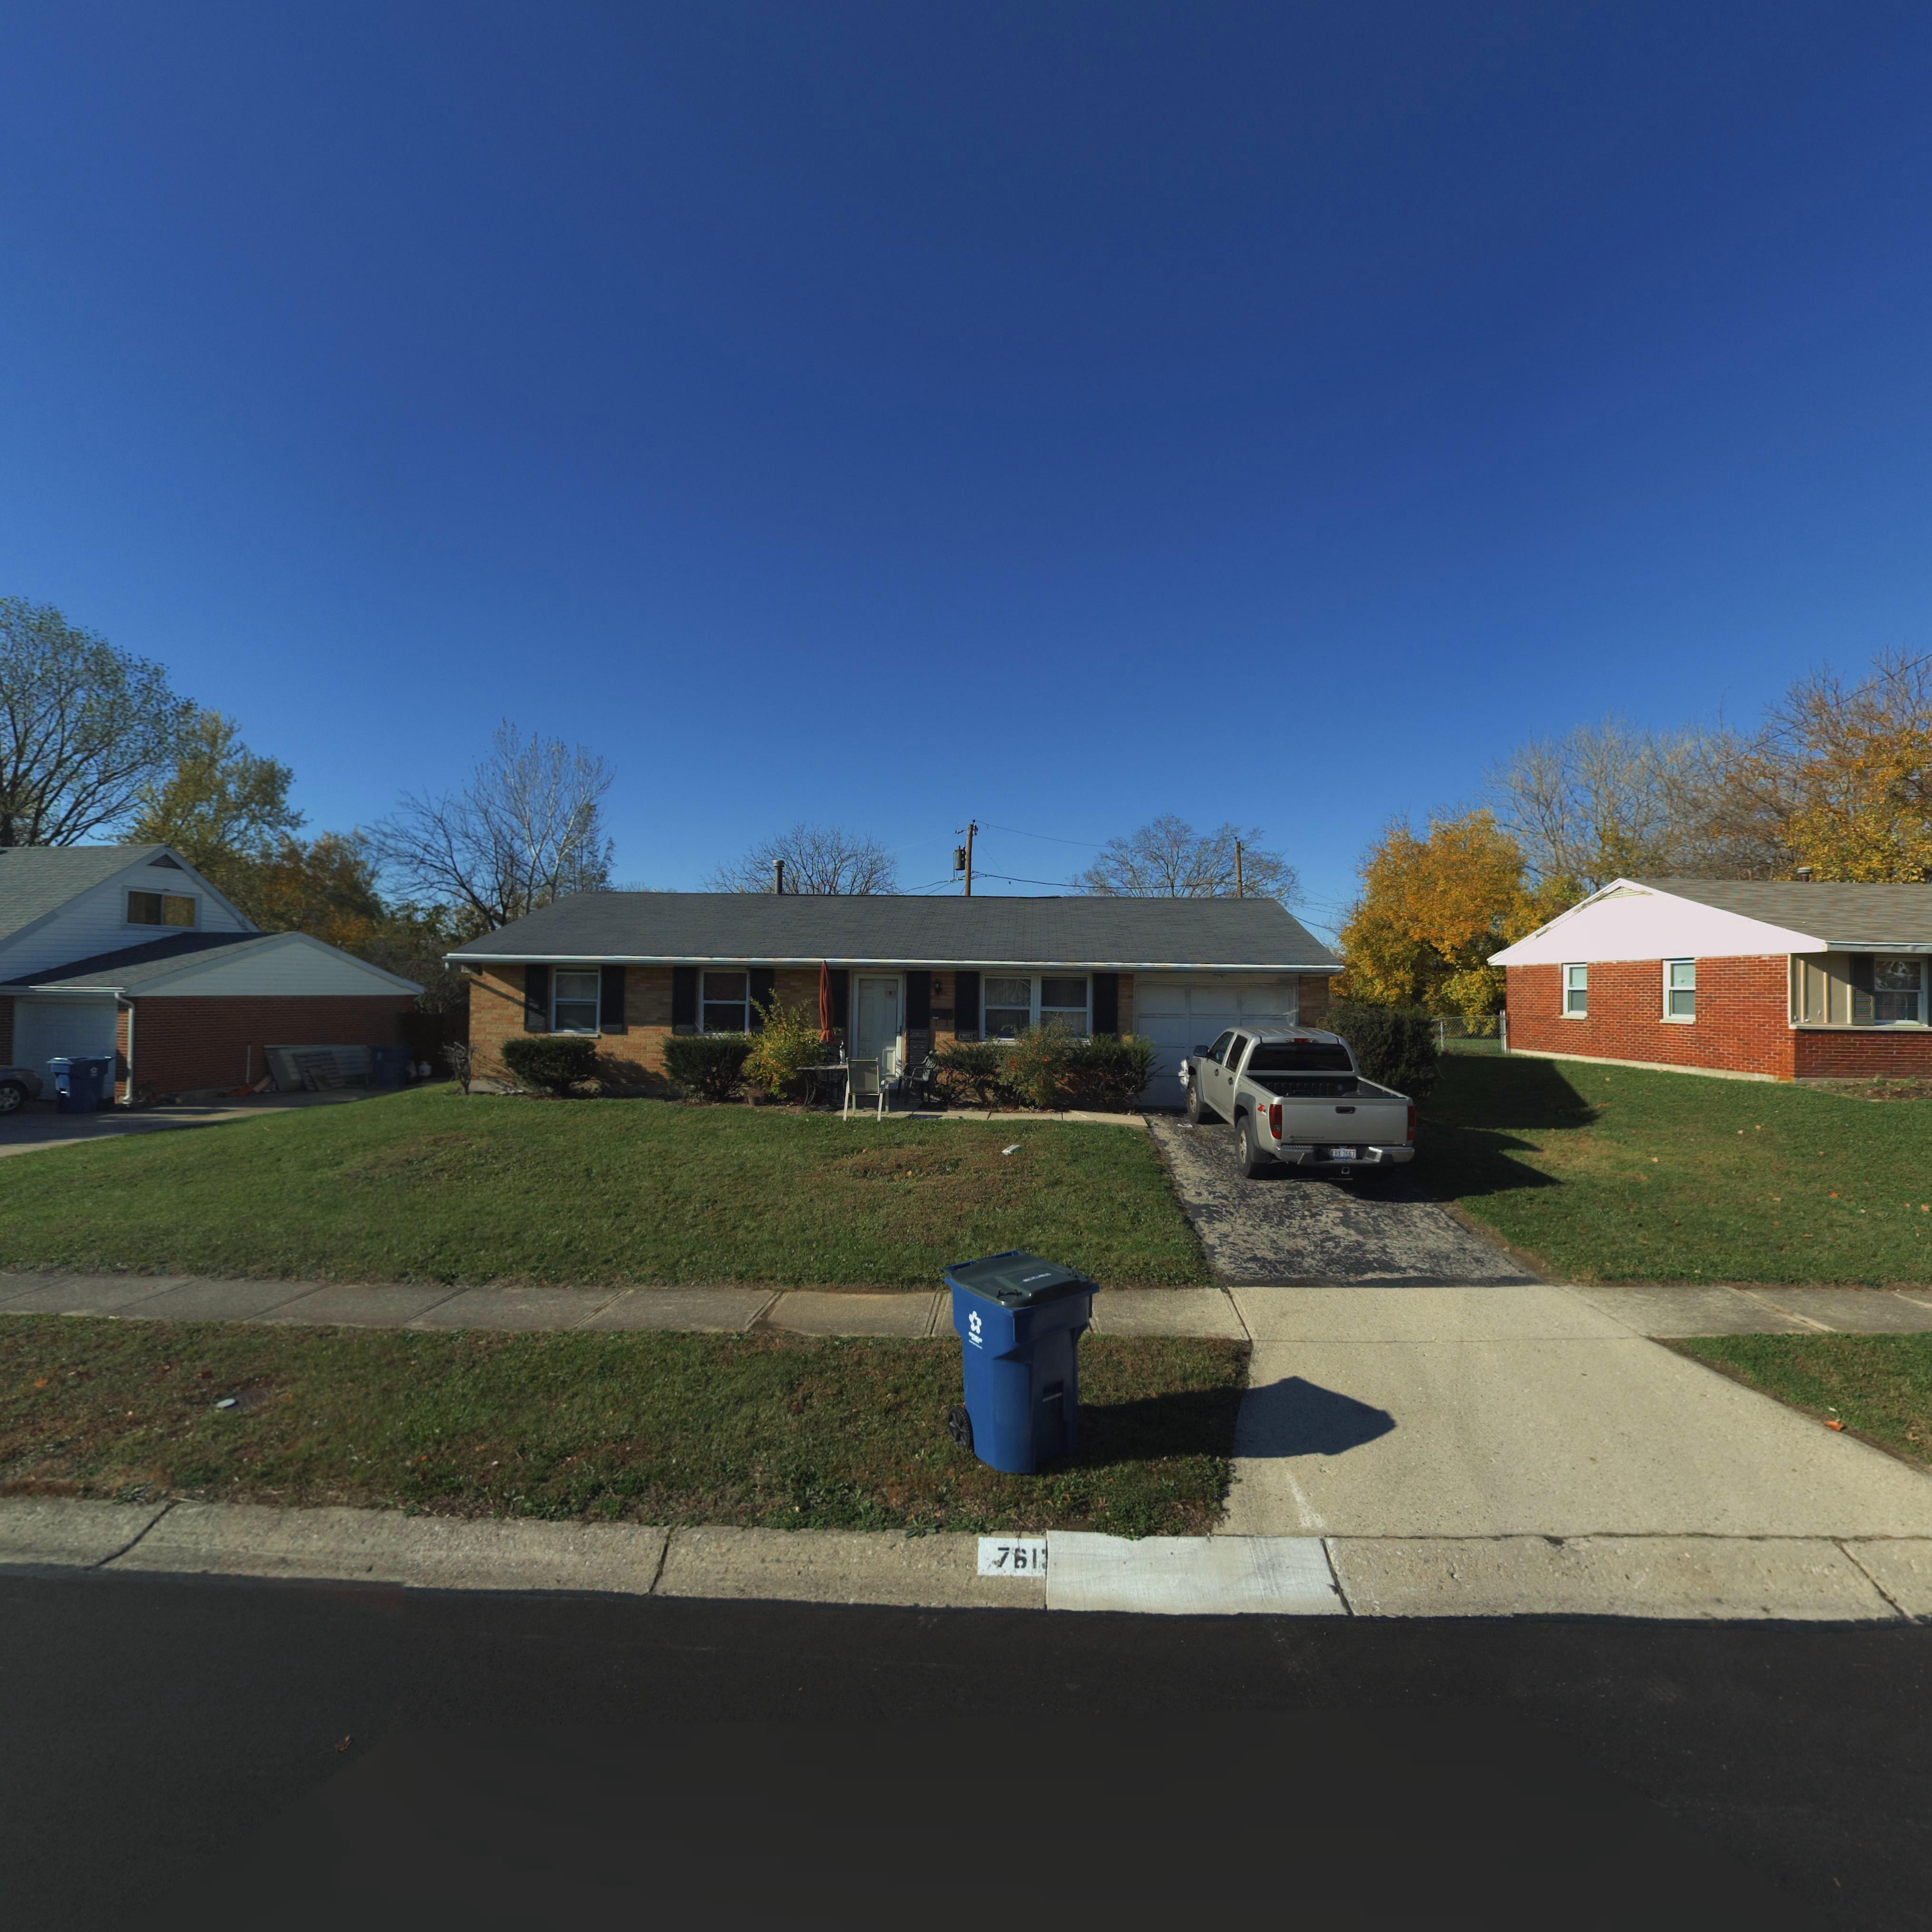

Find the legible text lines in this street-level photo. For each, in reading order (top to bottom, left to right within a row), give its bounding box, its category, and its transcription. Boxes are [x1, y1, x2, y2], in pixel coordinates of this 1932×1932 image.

[996, 1546, 1039, 1570] StreetNumber: 761